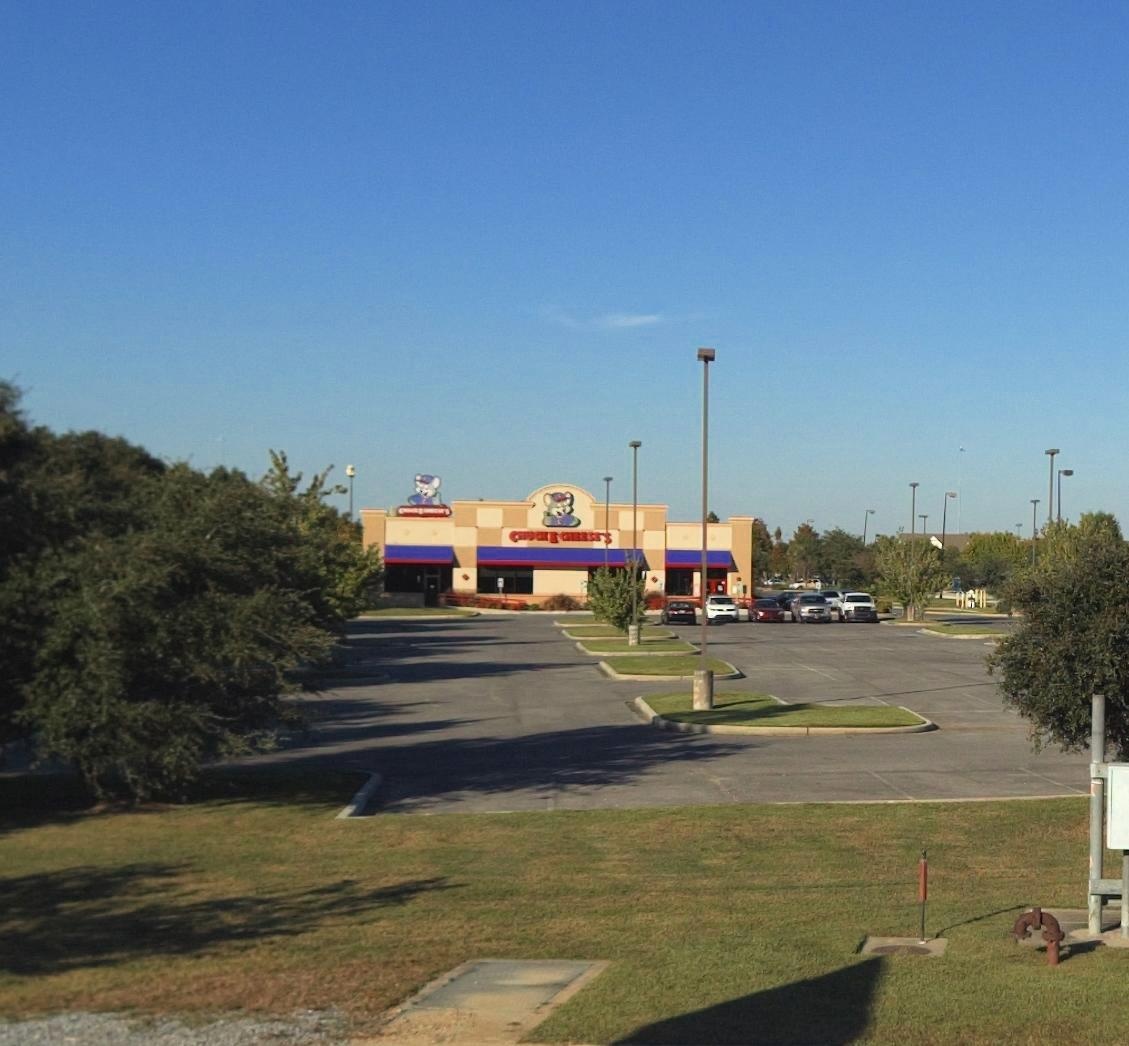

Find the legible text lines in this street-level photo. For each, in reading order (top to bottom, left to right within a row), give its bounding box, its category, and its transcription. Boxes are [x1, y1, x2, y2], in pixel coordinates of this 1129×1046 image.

[507, 530, 614, 545] BusinessName: CHUCK E CHEESE'*